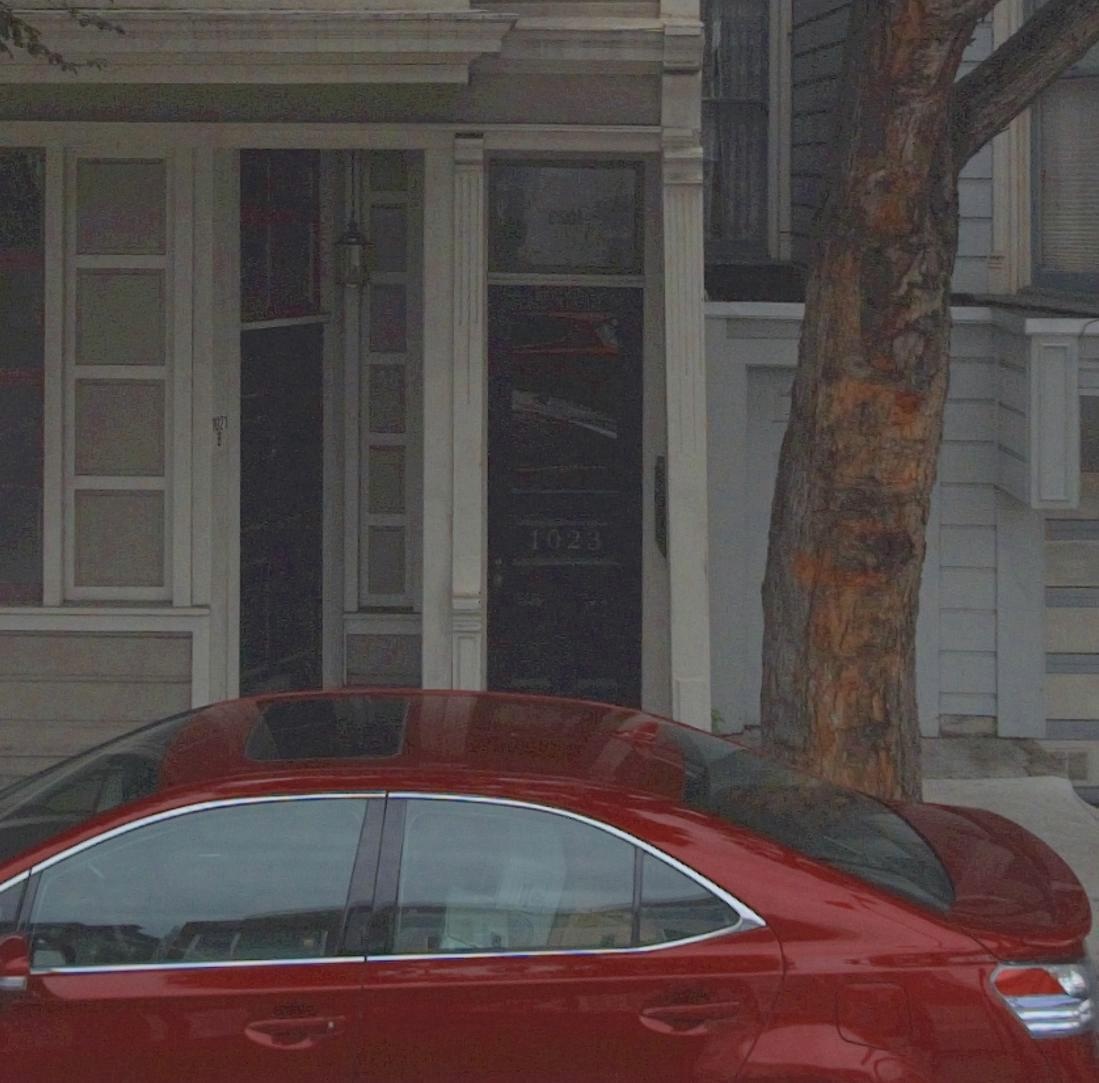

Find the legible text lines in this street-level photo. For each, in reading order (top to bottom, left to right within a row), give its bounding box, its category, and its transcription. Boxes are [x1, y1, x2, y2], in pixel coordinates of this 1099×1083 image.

[527, 526, 603, 552] StreetNumber: 1023